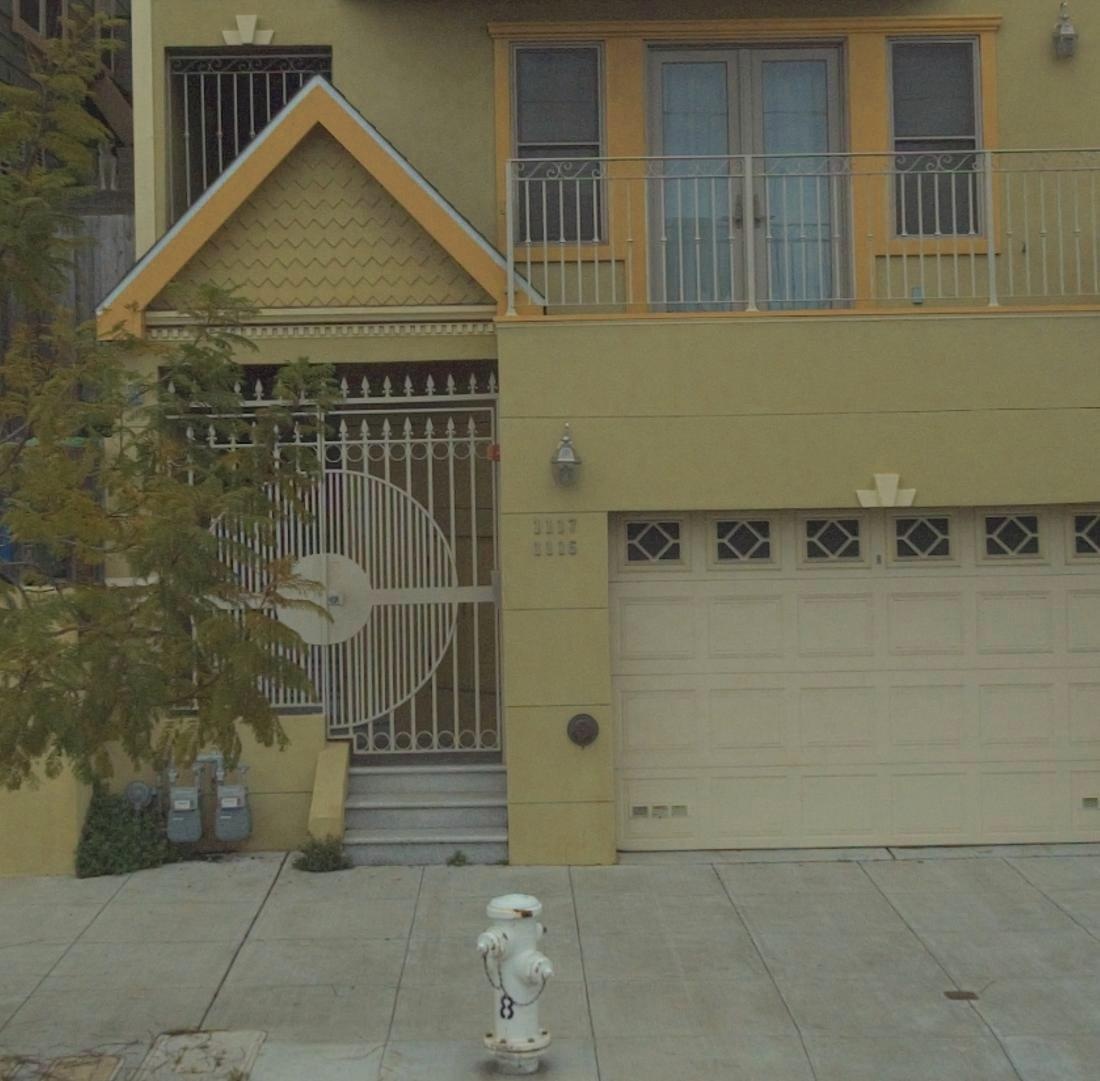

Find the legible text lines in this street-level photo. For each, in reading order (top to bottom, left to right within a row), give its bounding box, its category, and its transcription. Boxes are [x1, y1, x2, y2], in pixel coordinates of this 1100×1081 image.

[532, 517, 579, 535] StreetNumber: 1117
[532, 538, 578, 556] StreetNumber: 1115
[498, 993, 516, 1021] None: 8